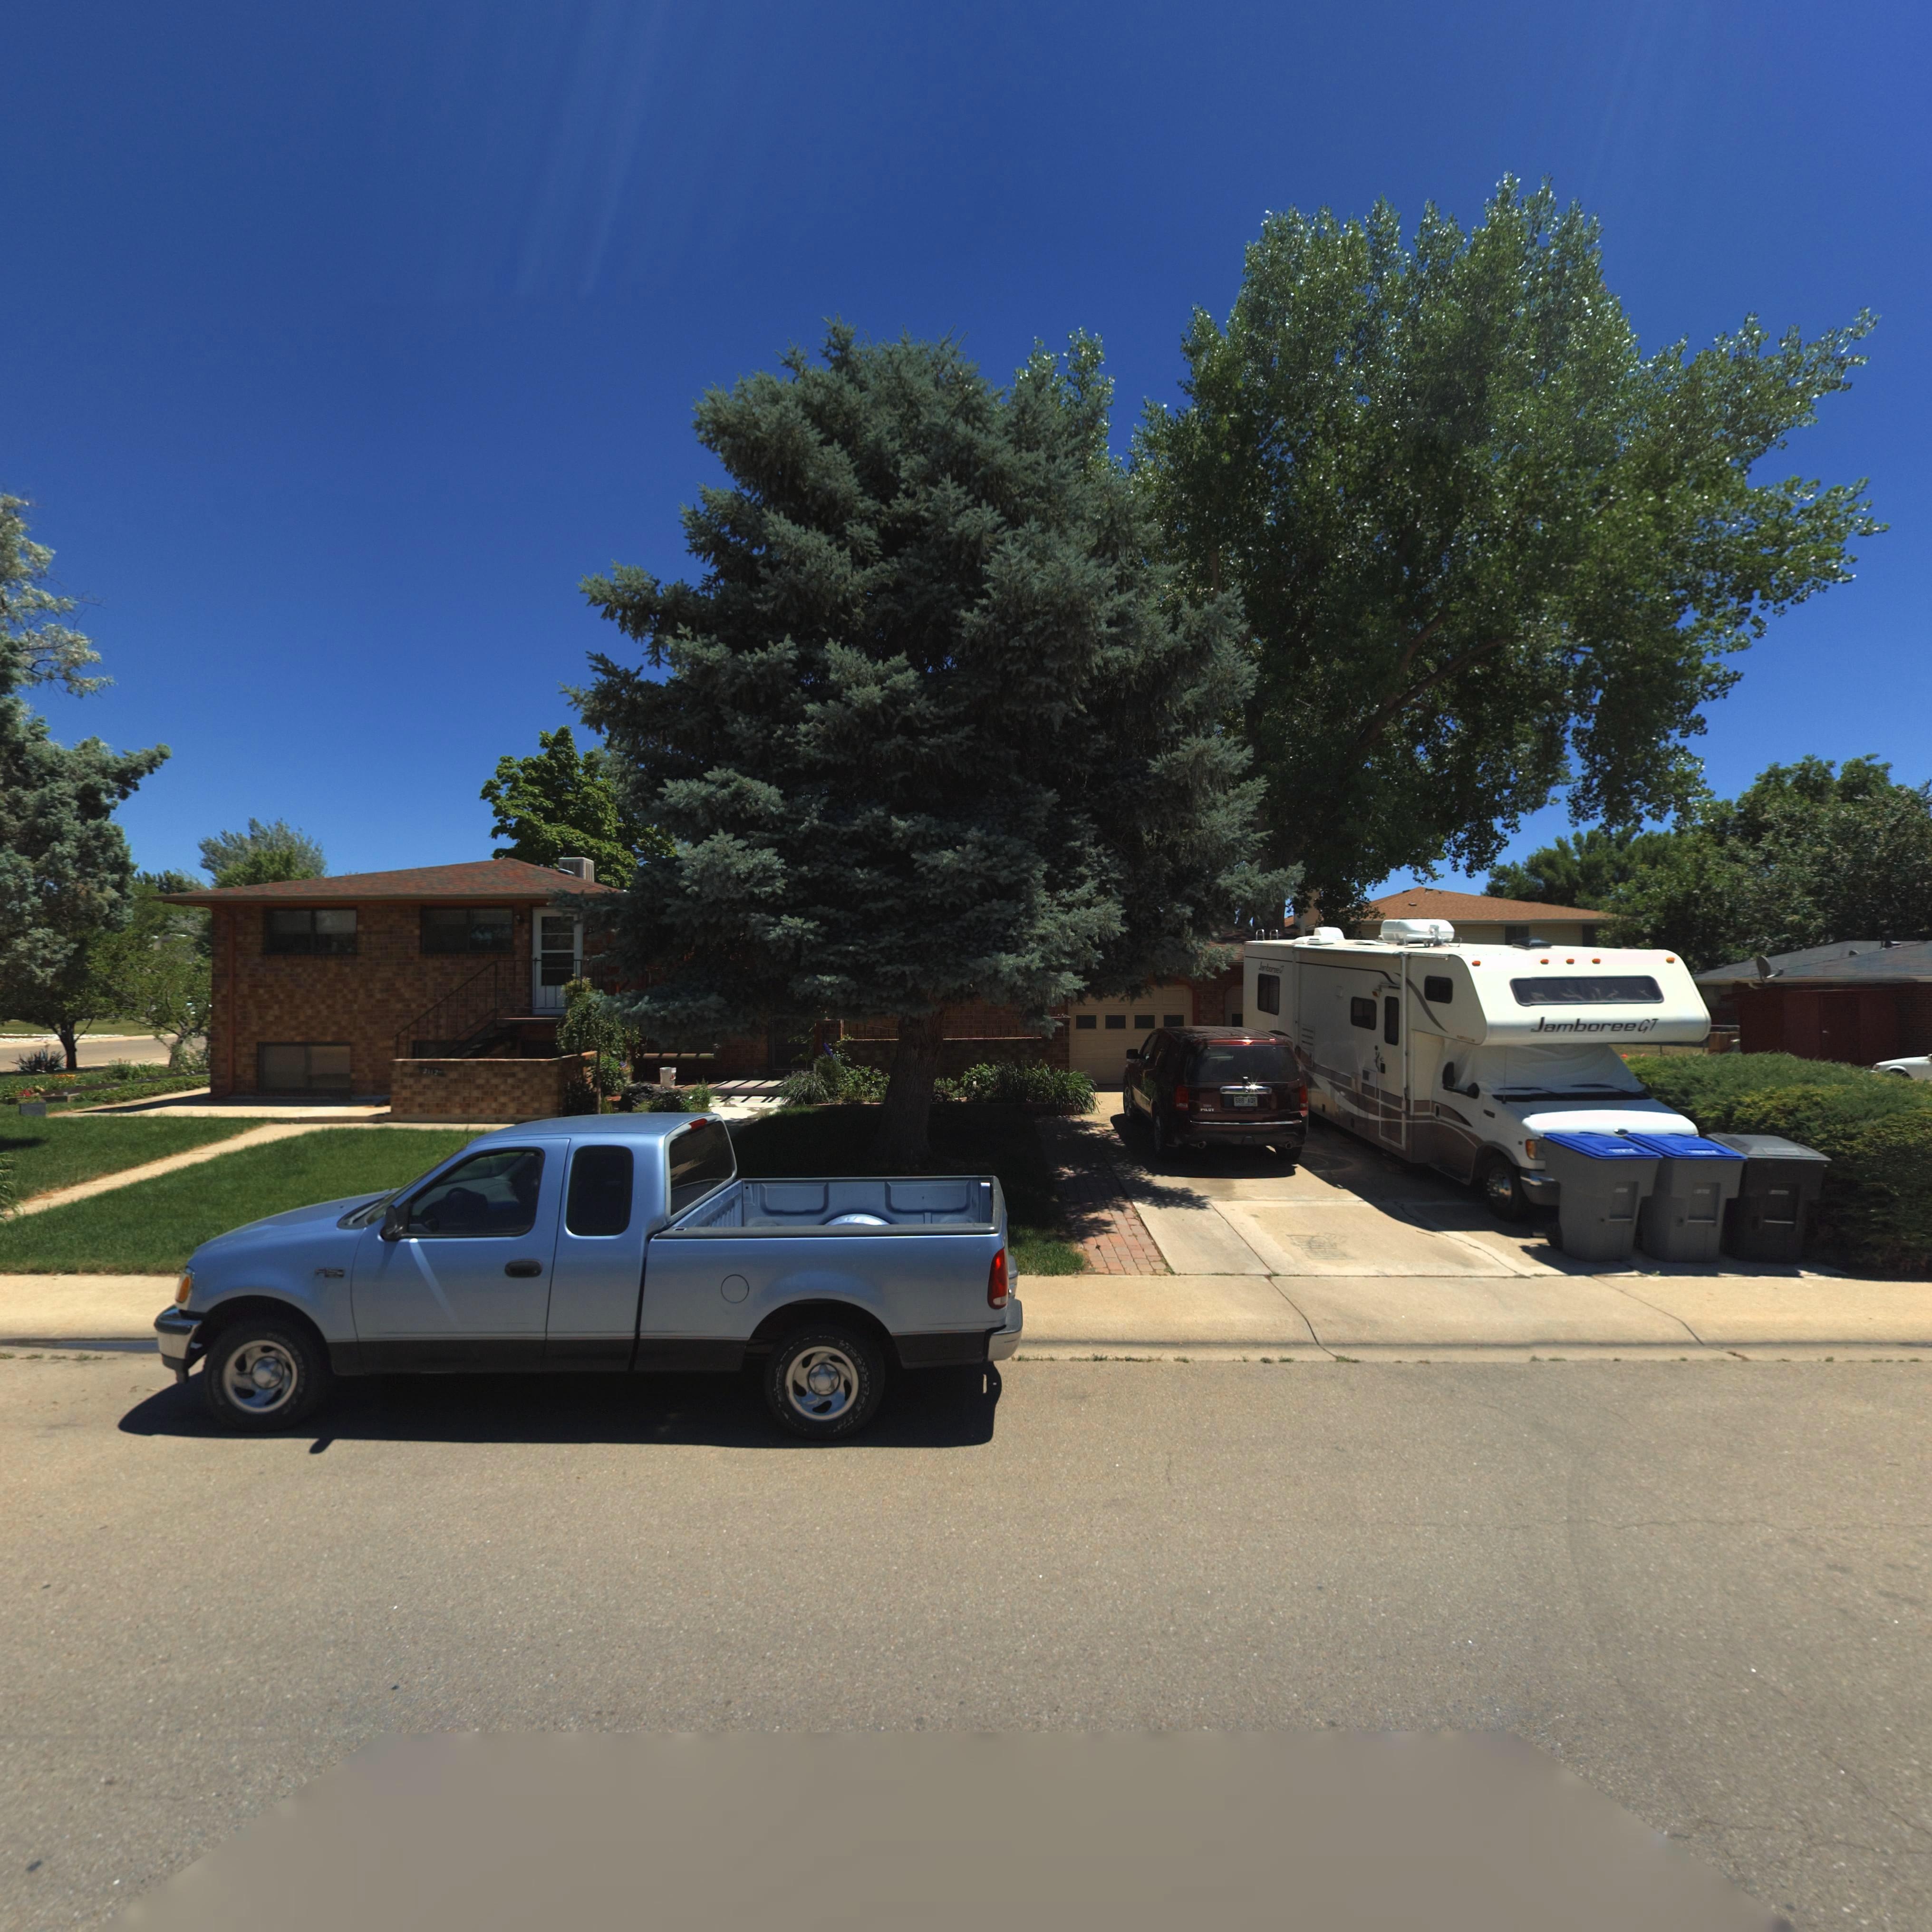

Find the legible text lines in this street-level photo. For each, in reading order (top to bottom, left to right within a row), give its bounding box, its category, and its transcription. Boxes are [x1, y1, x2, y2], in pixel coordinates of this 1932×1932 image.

[588, 927, 592, 933] StreetNumber: 2
[422, 1067, 439, 1077] StreetNumber: 2112